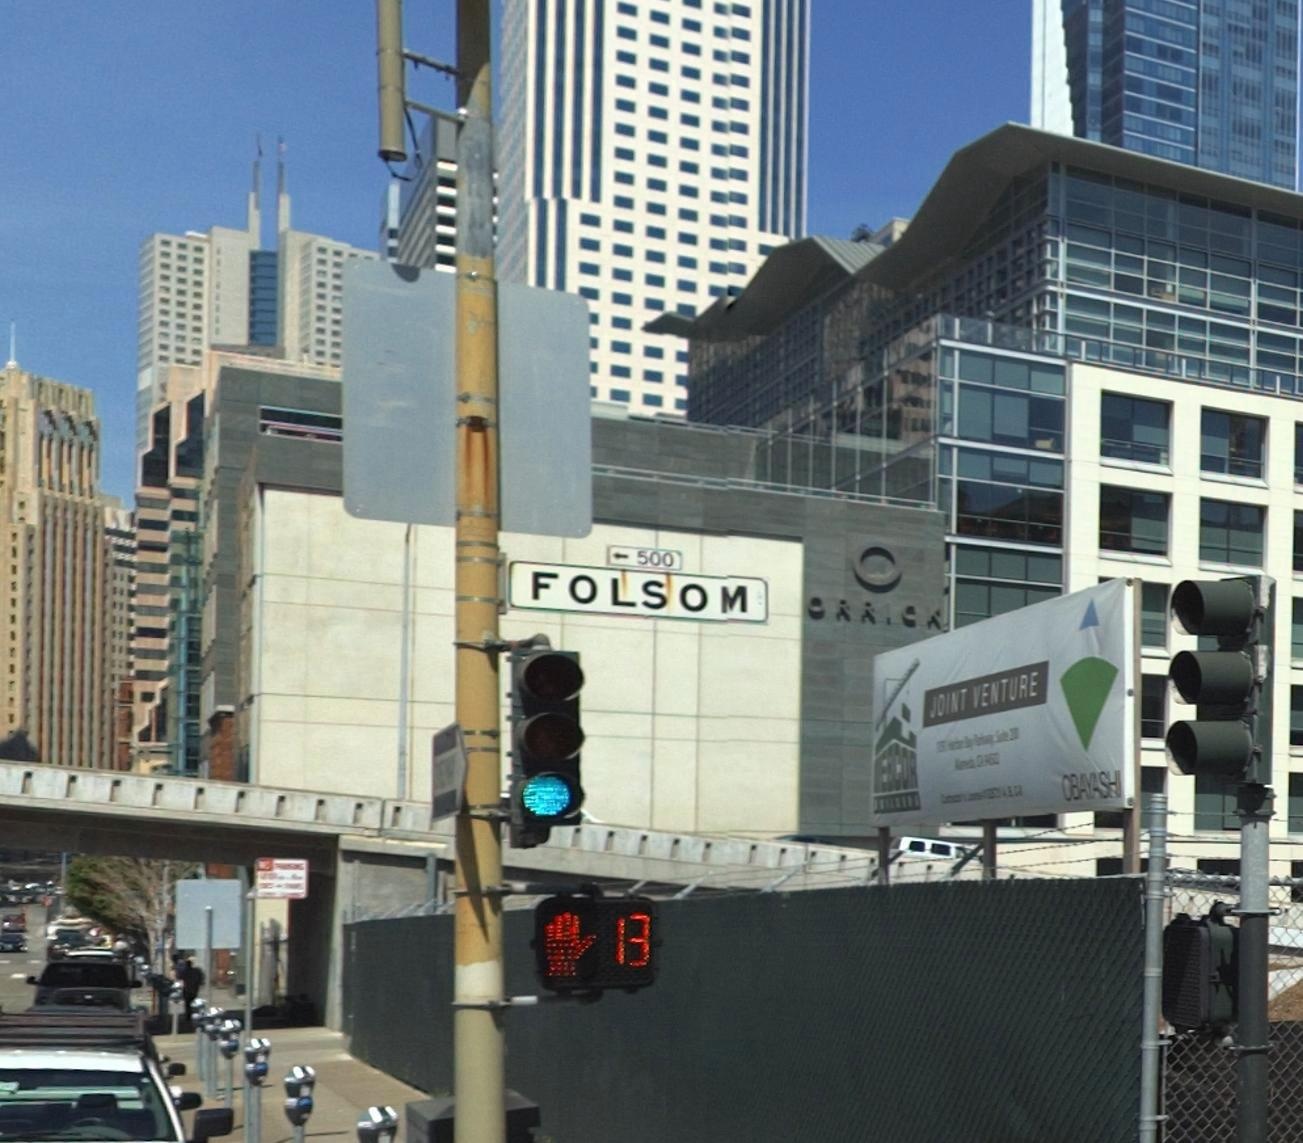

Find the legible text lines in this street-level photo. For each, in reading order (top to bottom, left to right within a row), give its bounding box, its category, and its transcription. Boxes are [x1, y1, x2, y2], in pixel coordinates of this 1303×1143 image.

[611, 548, 675, 568] StreetNumberRange: <-500
[848, 538, 906, 591] BusinessName: O
[527, 568, 750, 619] StreetName: FOLSOM
[805, 592, 950, 630] BusinessName: ORRIC*
[926, 668, 1041, 720] None: JOINT VENTURE
[1060, 768, 1126, 802] None: OBAYASHI
[610, 912, 651, 969] None: 13